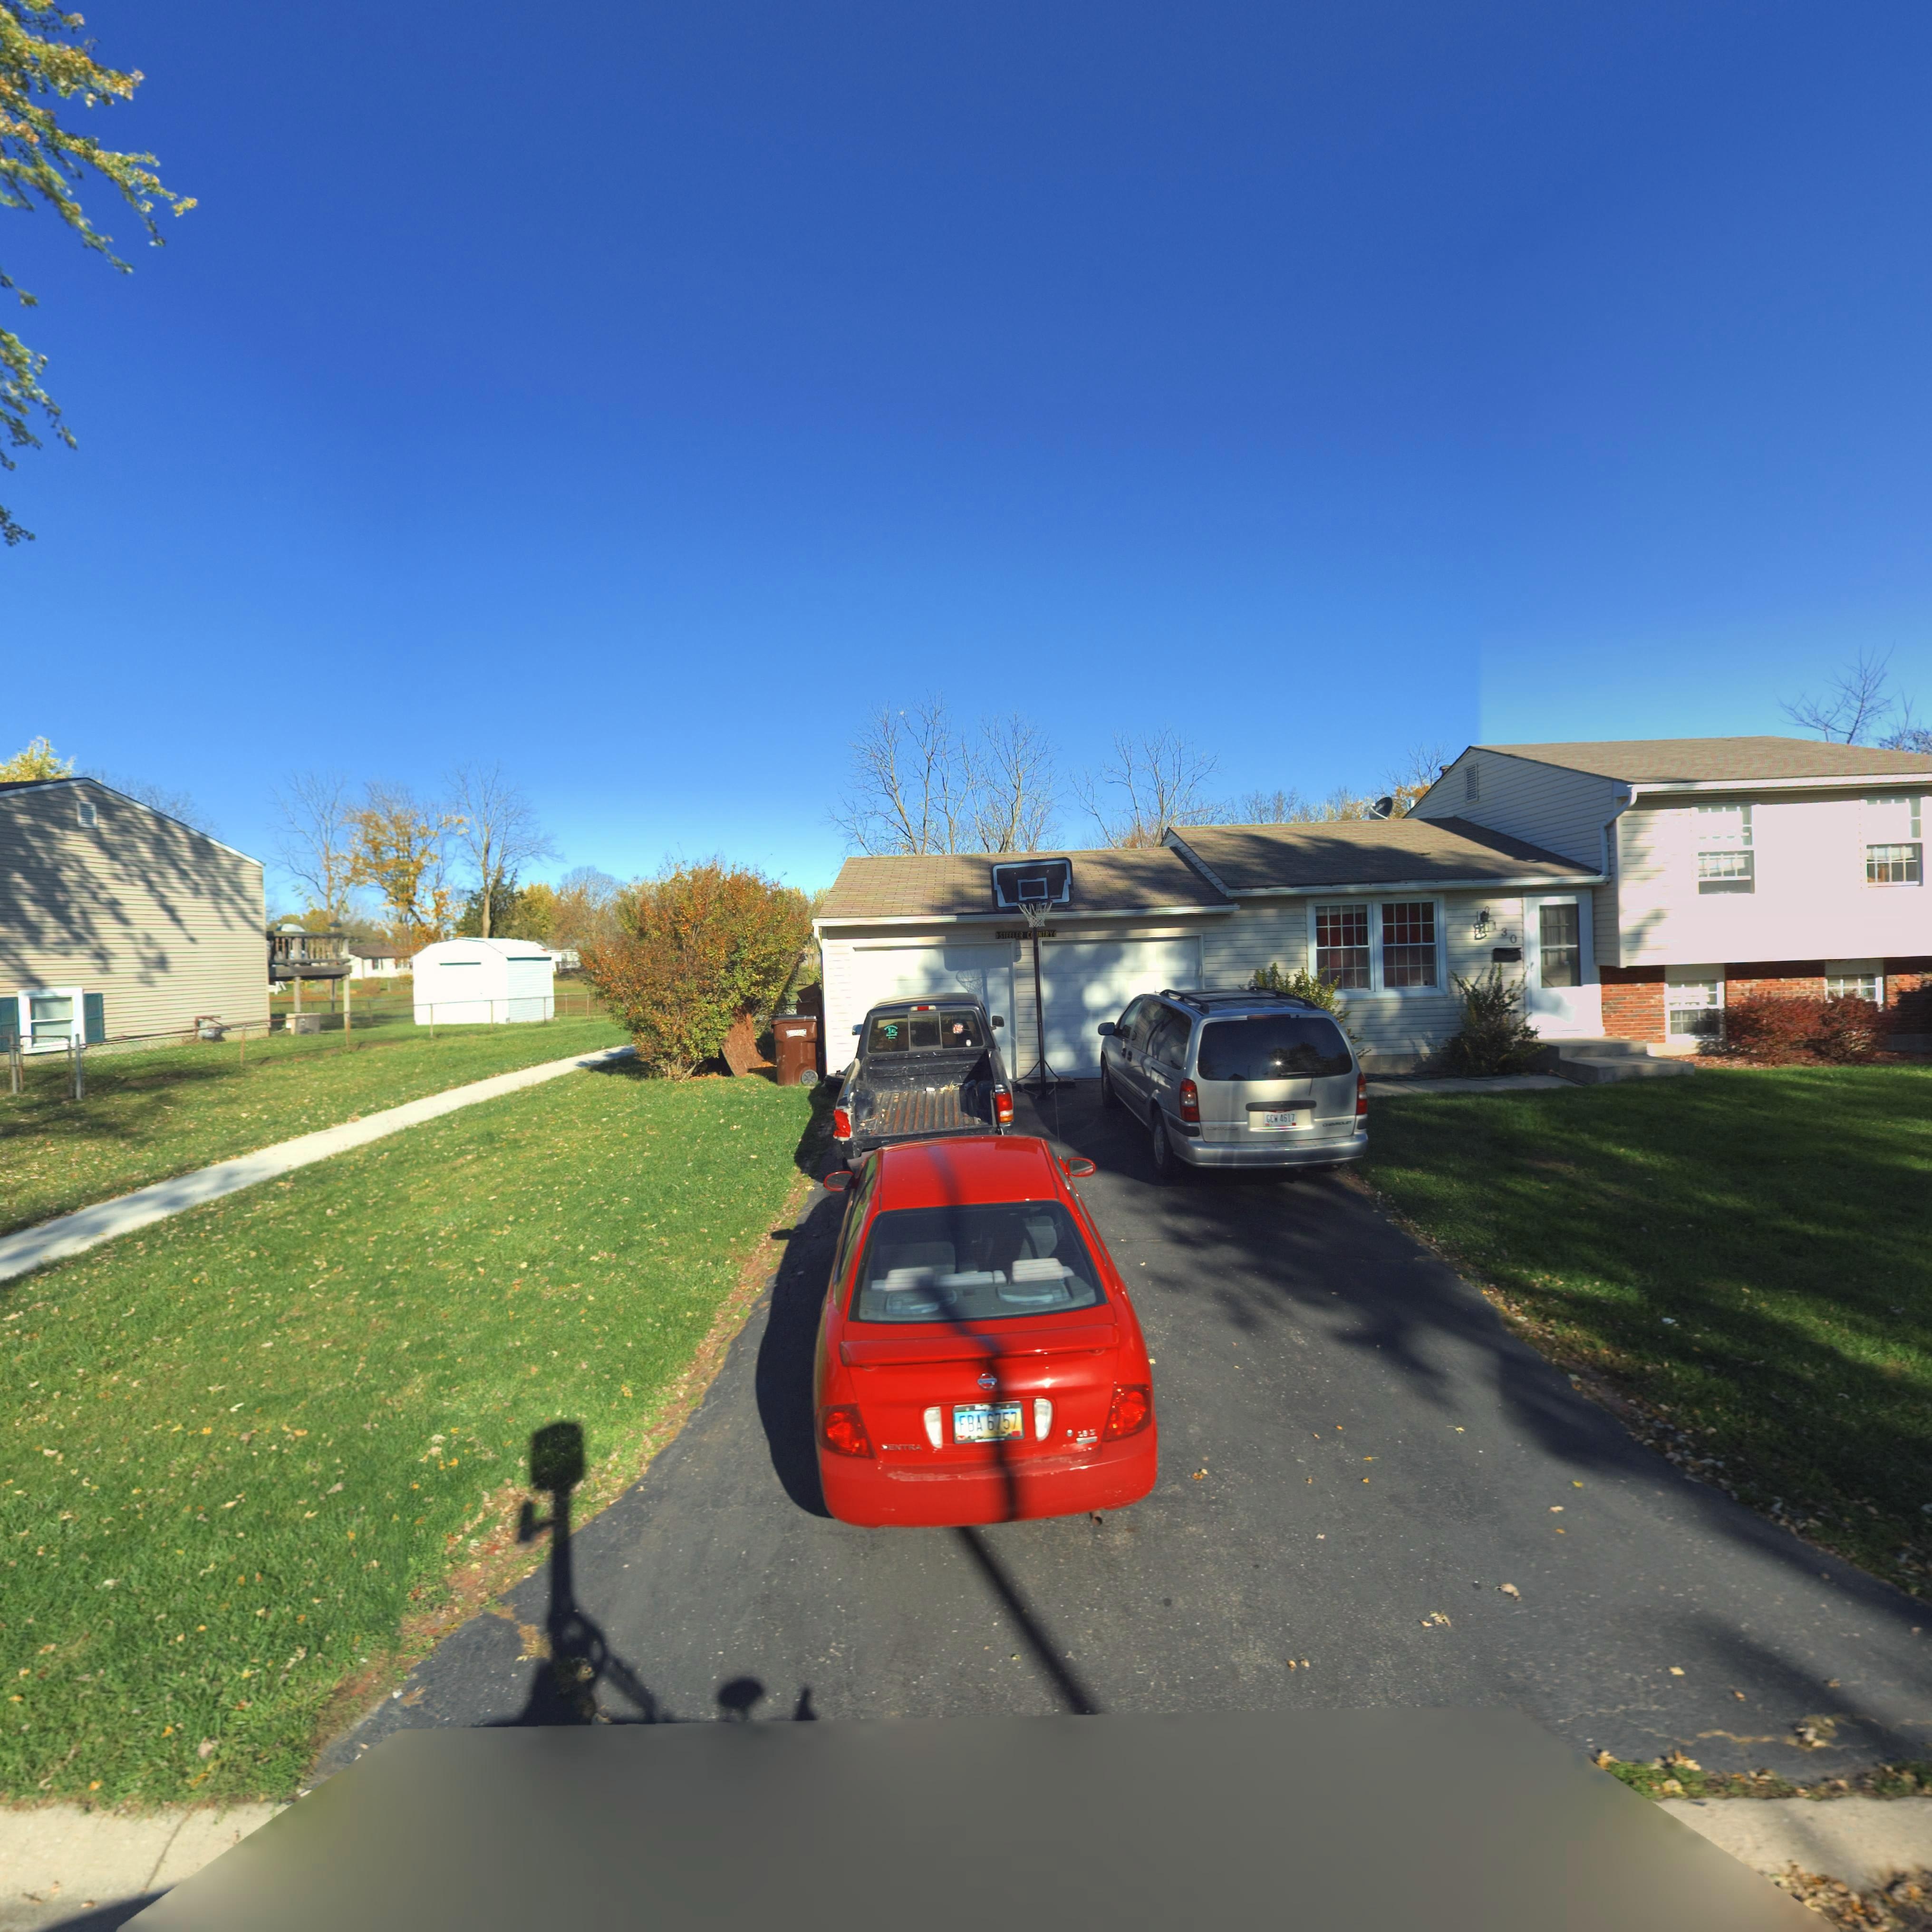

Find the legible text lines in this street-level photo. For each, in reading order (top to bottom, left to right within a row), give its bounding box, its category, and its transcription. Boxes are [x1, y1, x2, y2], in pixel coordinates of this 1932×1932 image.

[1492, 920, 1517, 945] StreetNumber: 130